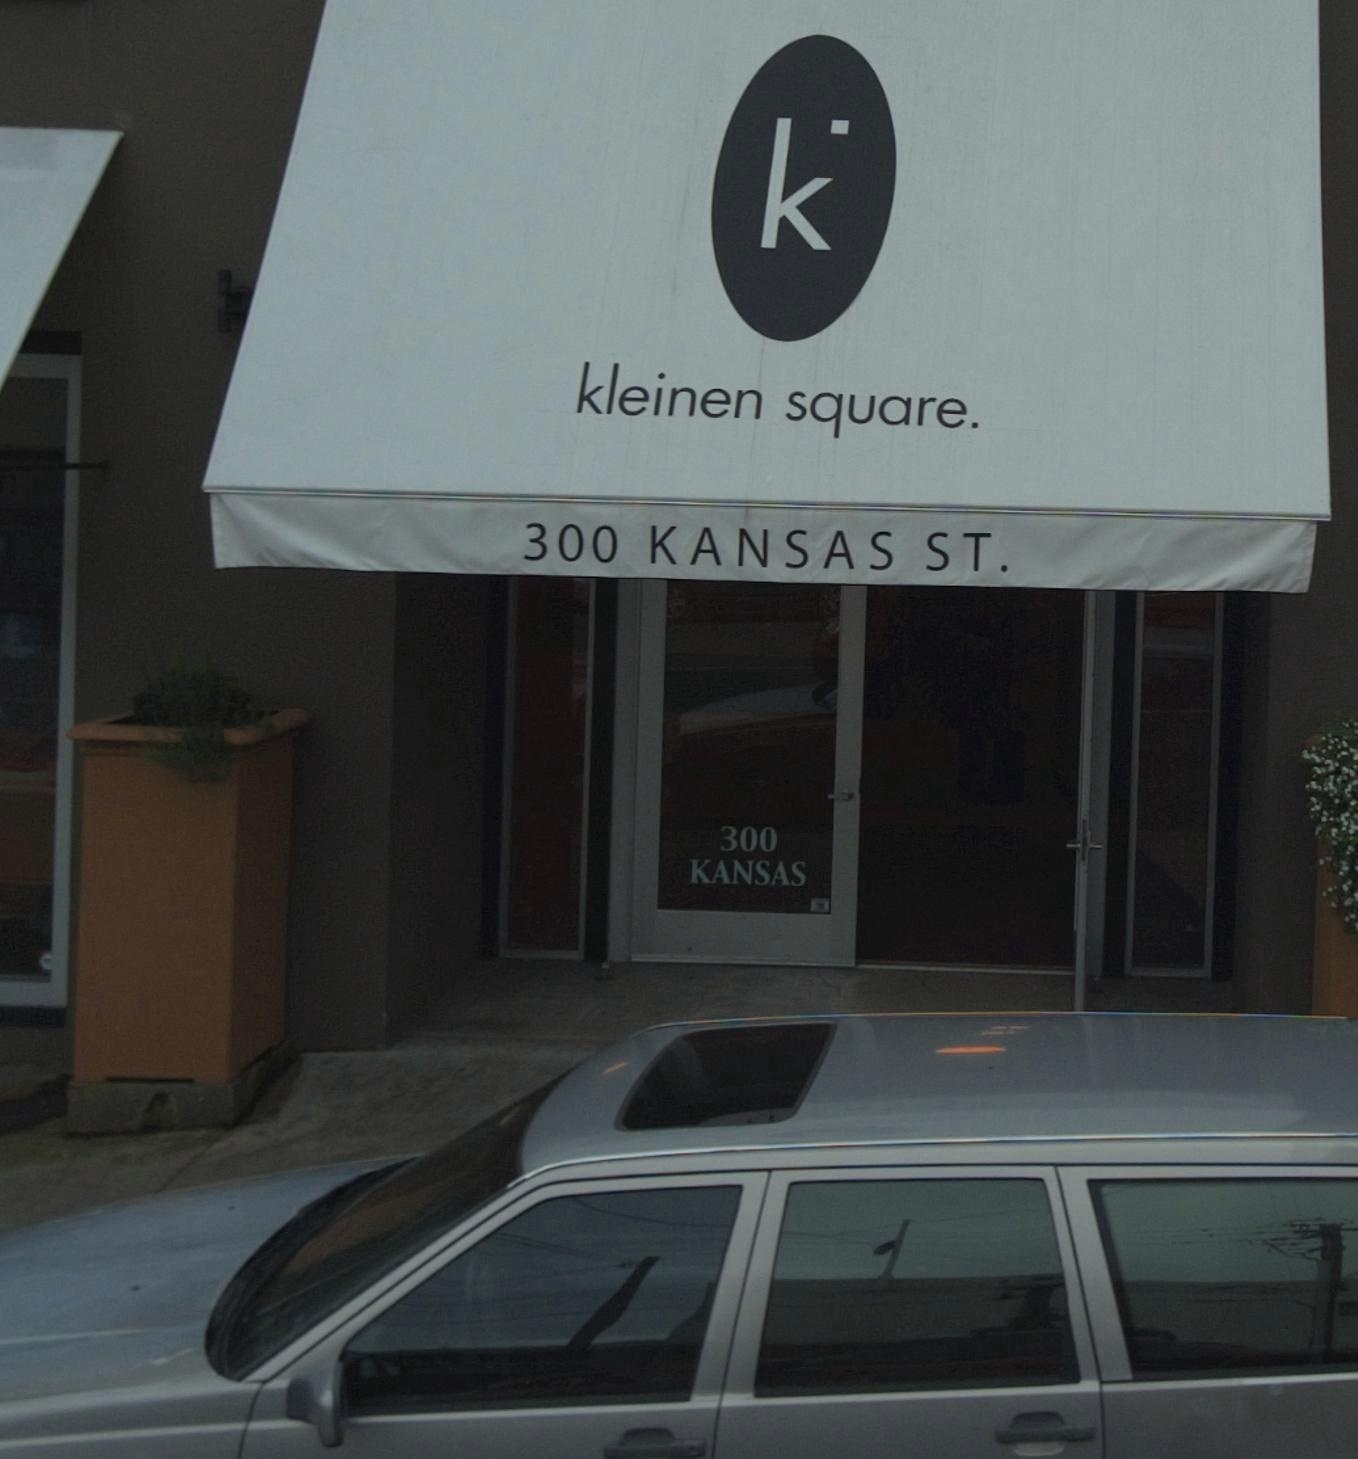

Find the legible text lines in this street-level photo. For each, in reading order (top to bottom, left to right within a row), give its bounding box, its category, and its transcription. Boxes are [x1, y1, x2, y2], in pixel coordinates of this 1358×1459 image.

[755, 113, 836, 254] None: k
[573, 358, 982, 441] BusinessName: kleinen square.
[521, 521, 620, 564] StreetNumber: 300
[645, 521, 1013, 576] StreetName: KANSAS ST.
[716, 822, 779, 855] StreetNumber: 300
[688, 856, 809, 889] StreetName: KANSAS